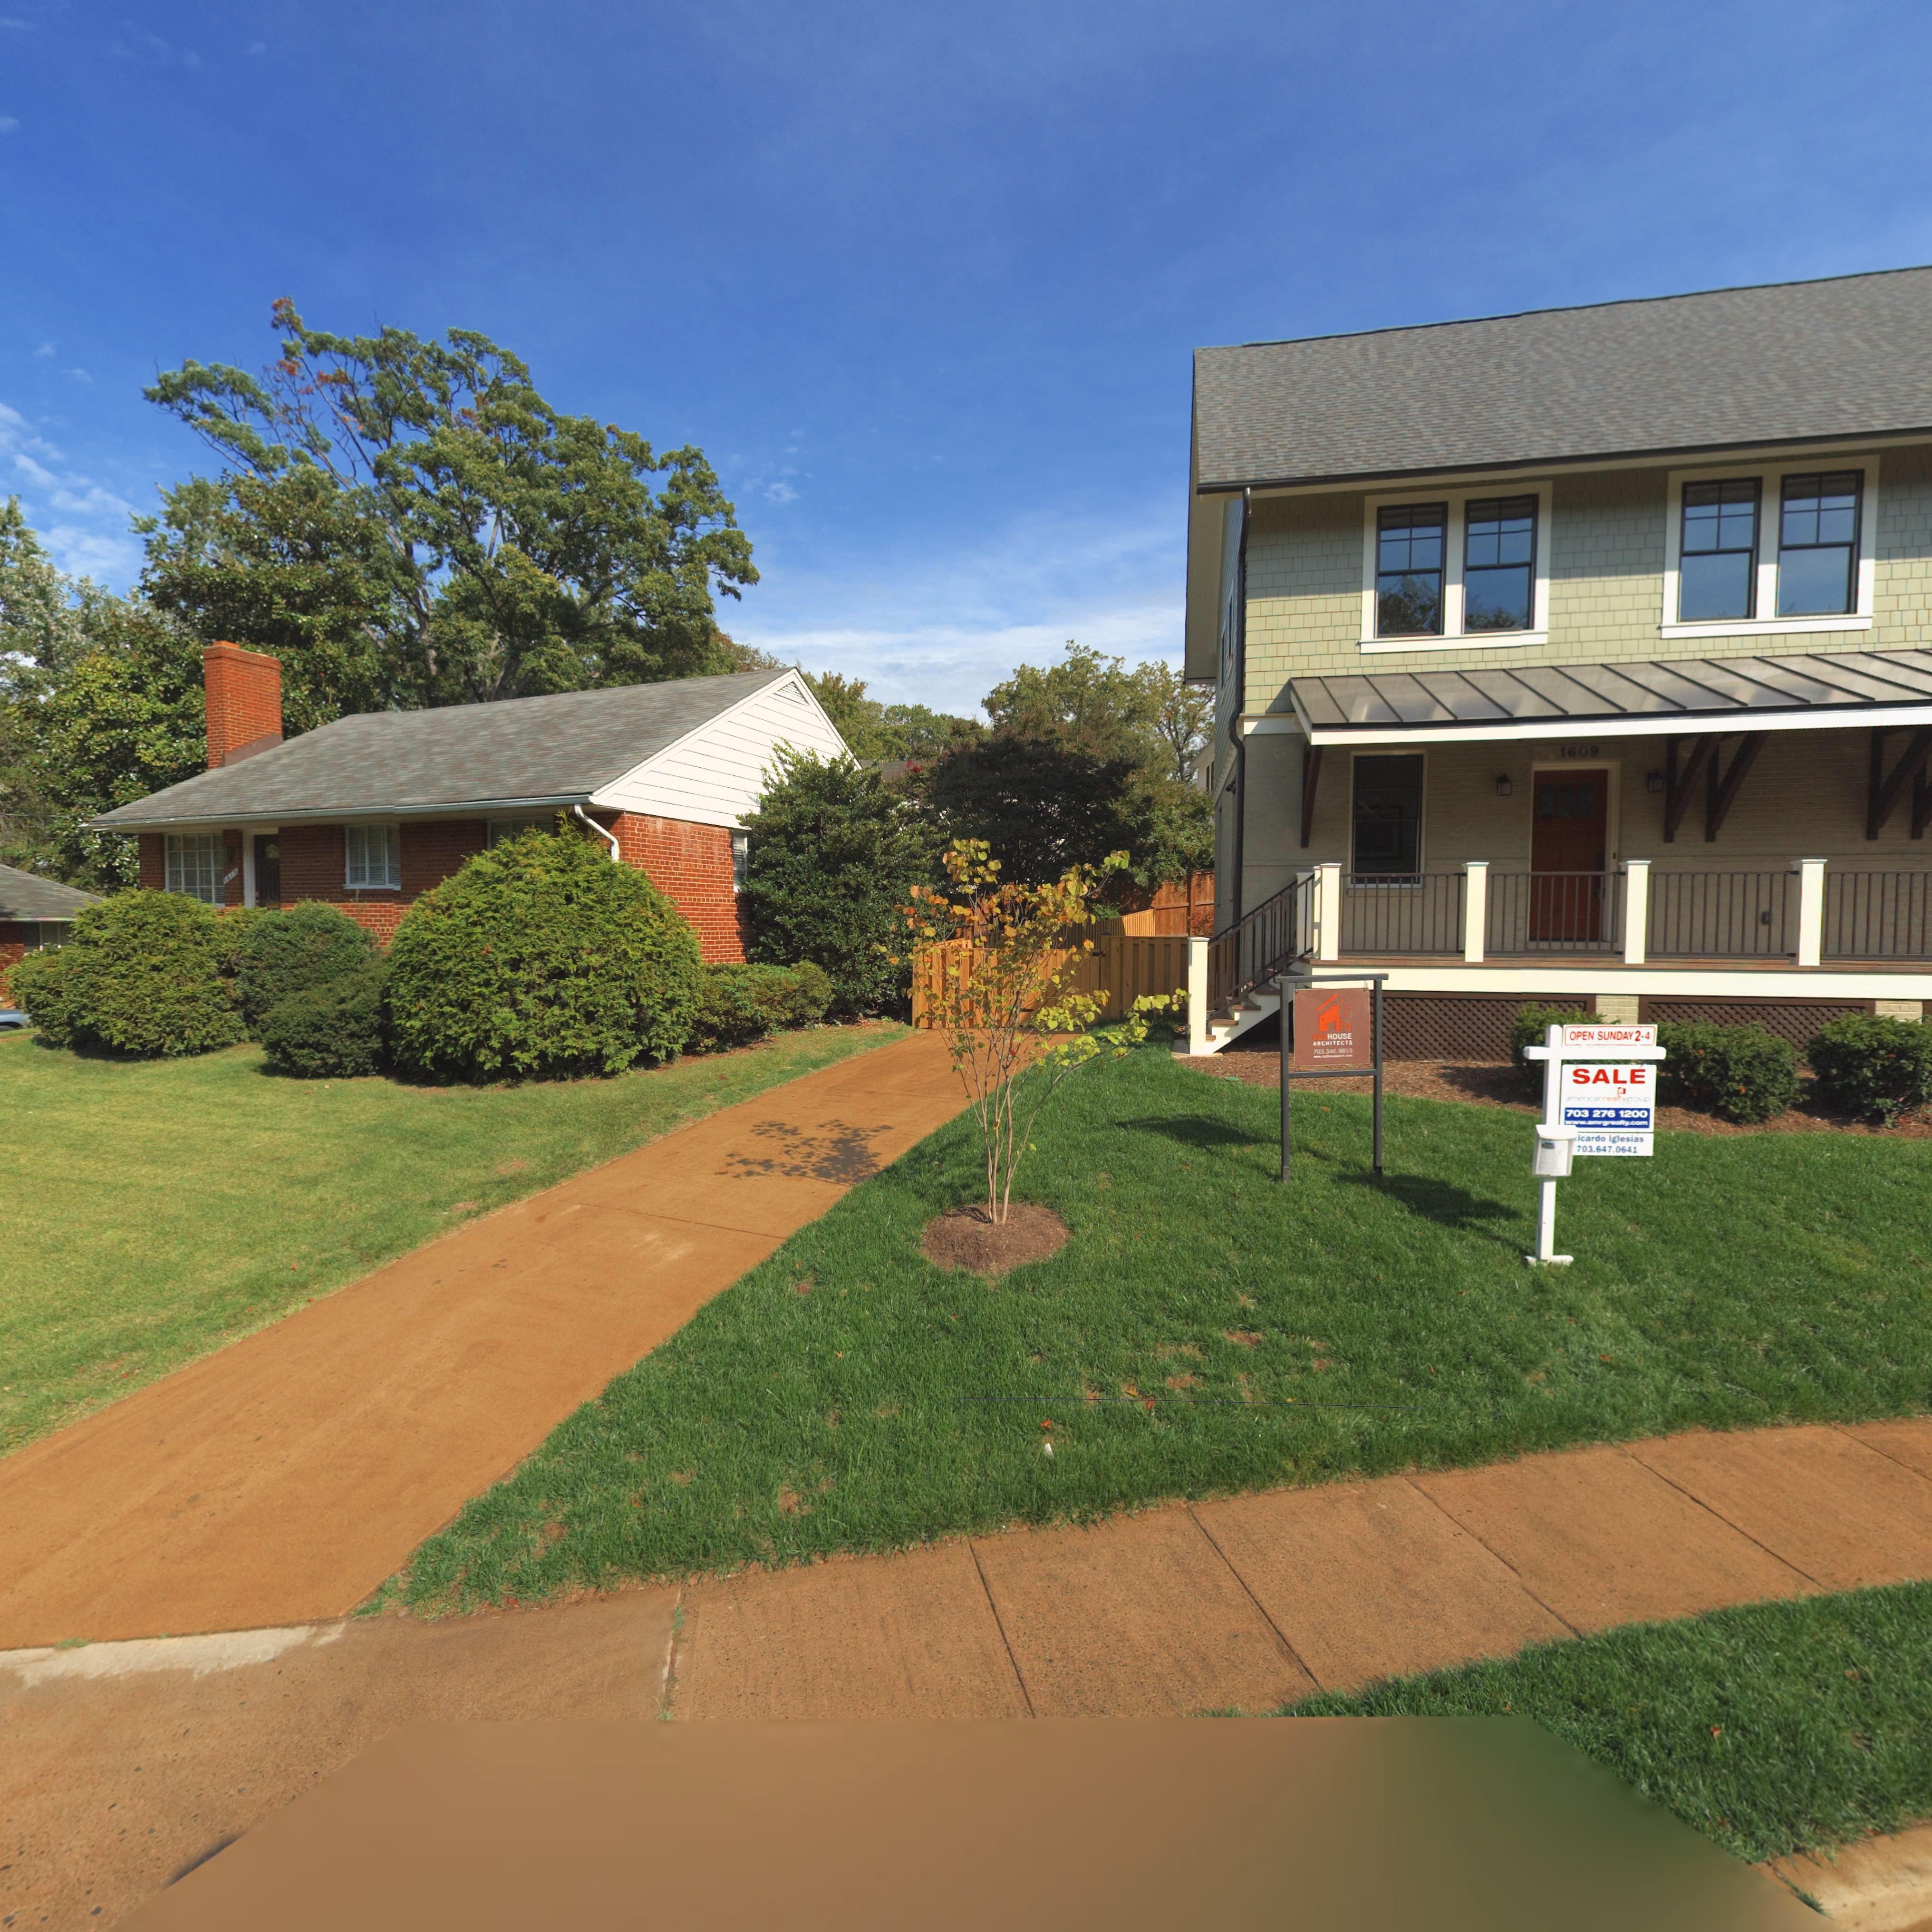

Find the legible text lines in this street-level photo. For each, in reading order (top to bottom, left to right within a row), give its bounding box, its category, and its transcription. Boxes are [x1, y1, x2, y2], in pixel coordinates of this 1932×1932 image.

[1559, 744, 1600, 759] None: 1609
[1312, 1032, 1353, 1041] None: REDHOUSE
[1568, 1029, 1652, 1043] None: OPEN SUNDAY 2-4
[1312, 1039, 1354, 1047] None: ARCHITECTS
[1312, 1046, 1354, 1055] None: 703.346.9819
[1571, 1066, 1647, 1086] None: SALE
[1564, 1093, 1653, 1105] None: americanrea*tygroup
[1564, 1108, 1650, 1120] None: 703 276 1200
[1563, 1118, 1650, 1128] None: www.amrgrealty.com
[1577, 1132, 1646, 1145] None: icardo Iglesias
[1575, 1144, 1639, 1155] None: 703.647.0641